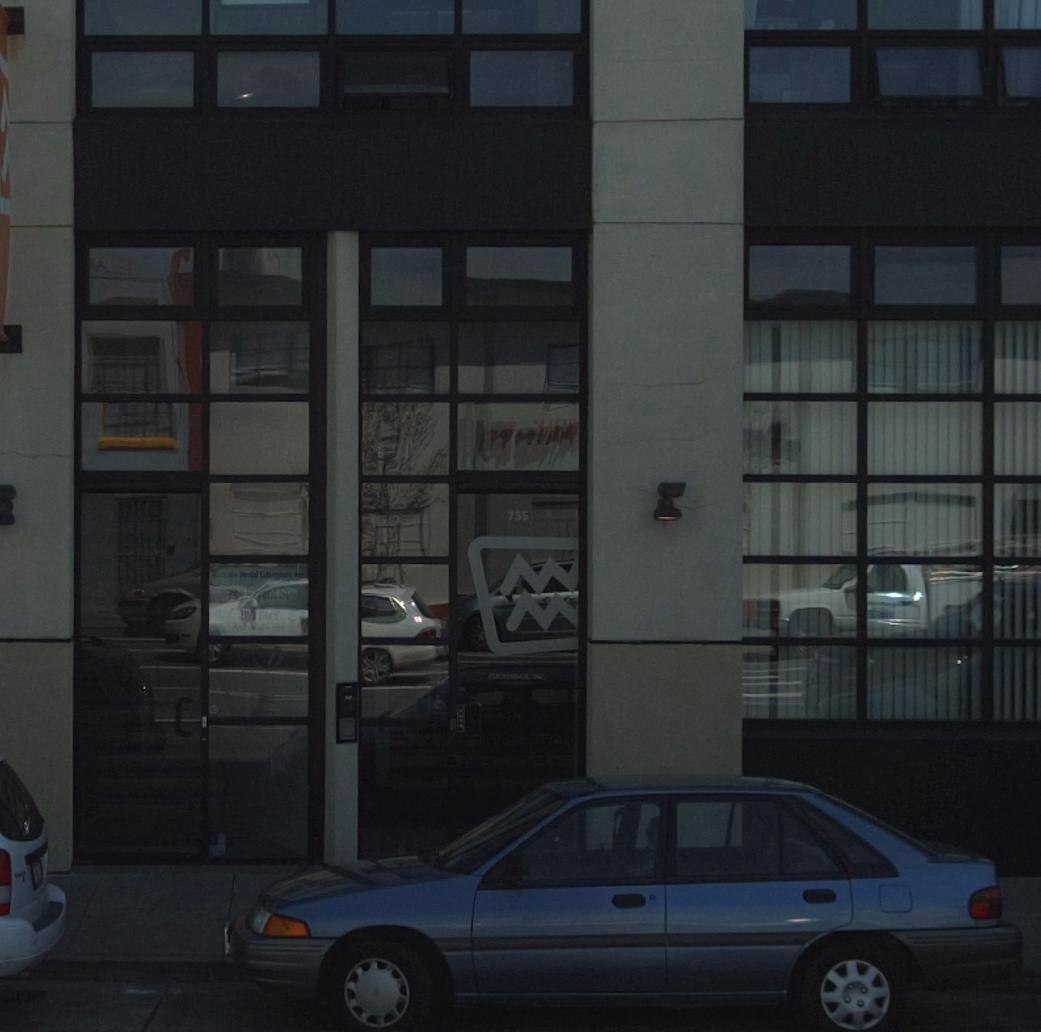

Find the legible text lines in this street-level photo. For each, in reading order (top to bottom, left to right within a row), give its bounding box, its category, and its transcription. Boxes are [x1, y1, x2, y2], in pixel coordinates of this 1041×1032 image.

[507, 509, 530, 522] StreetNumber: 735